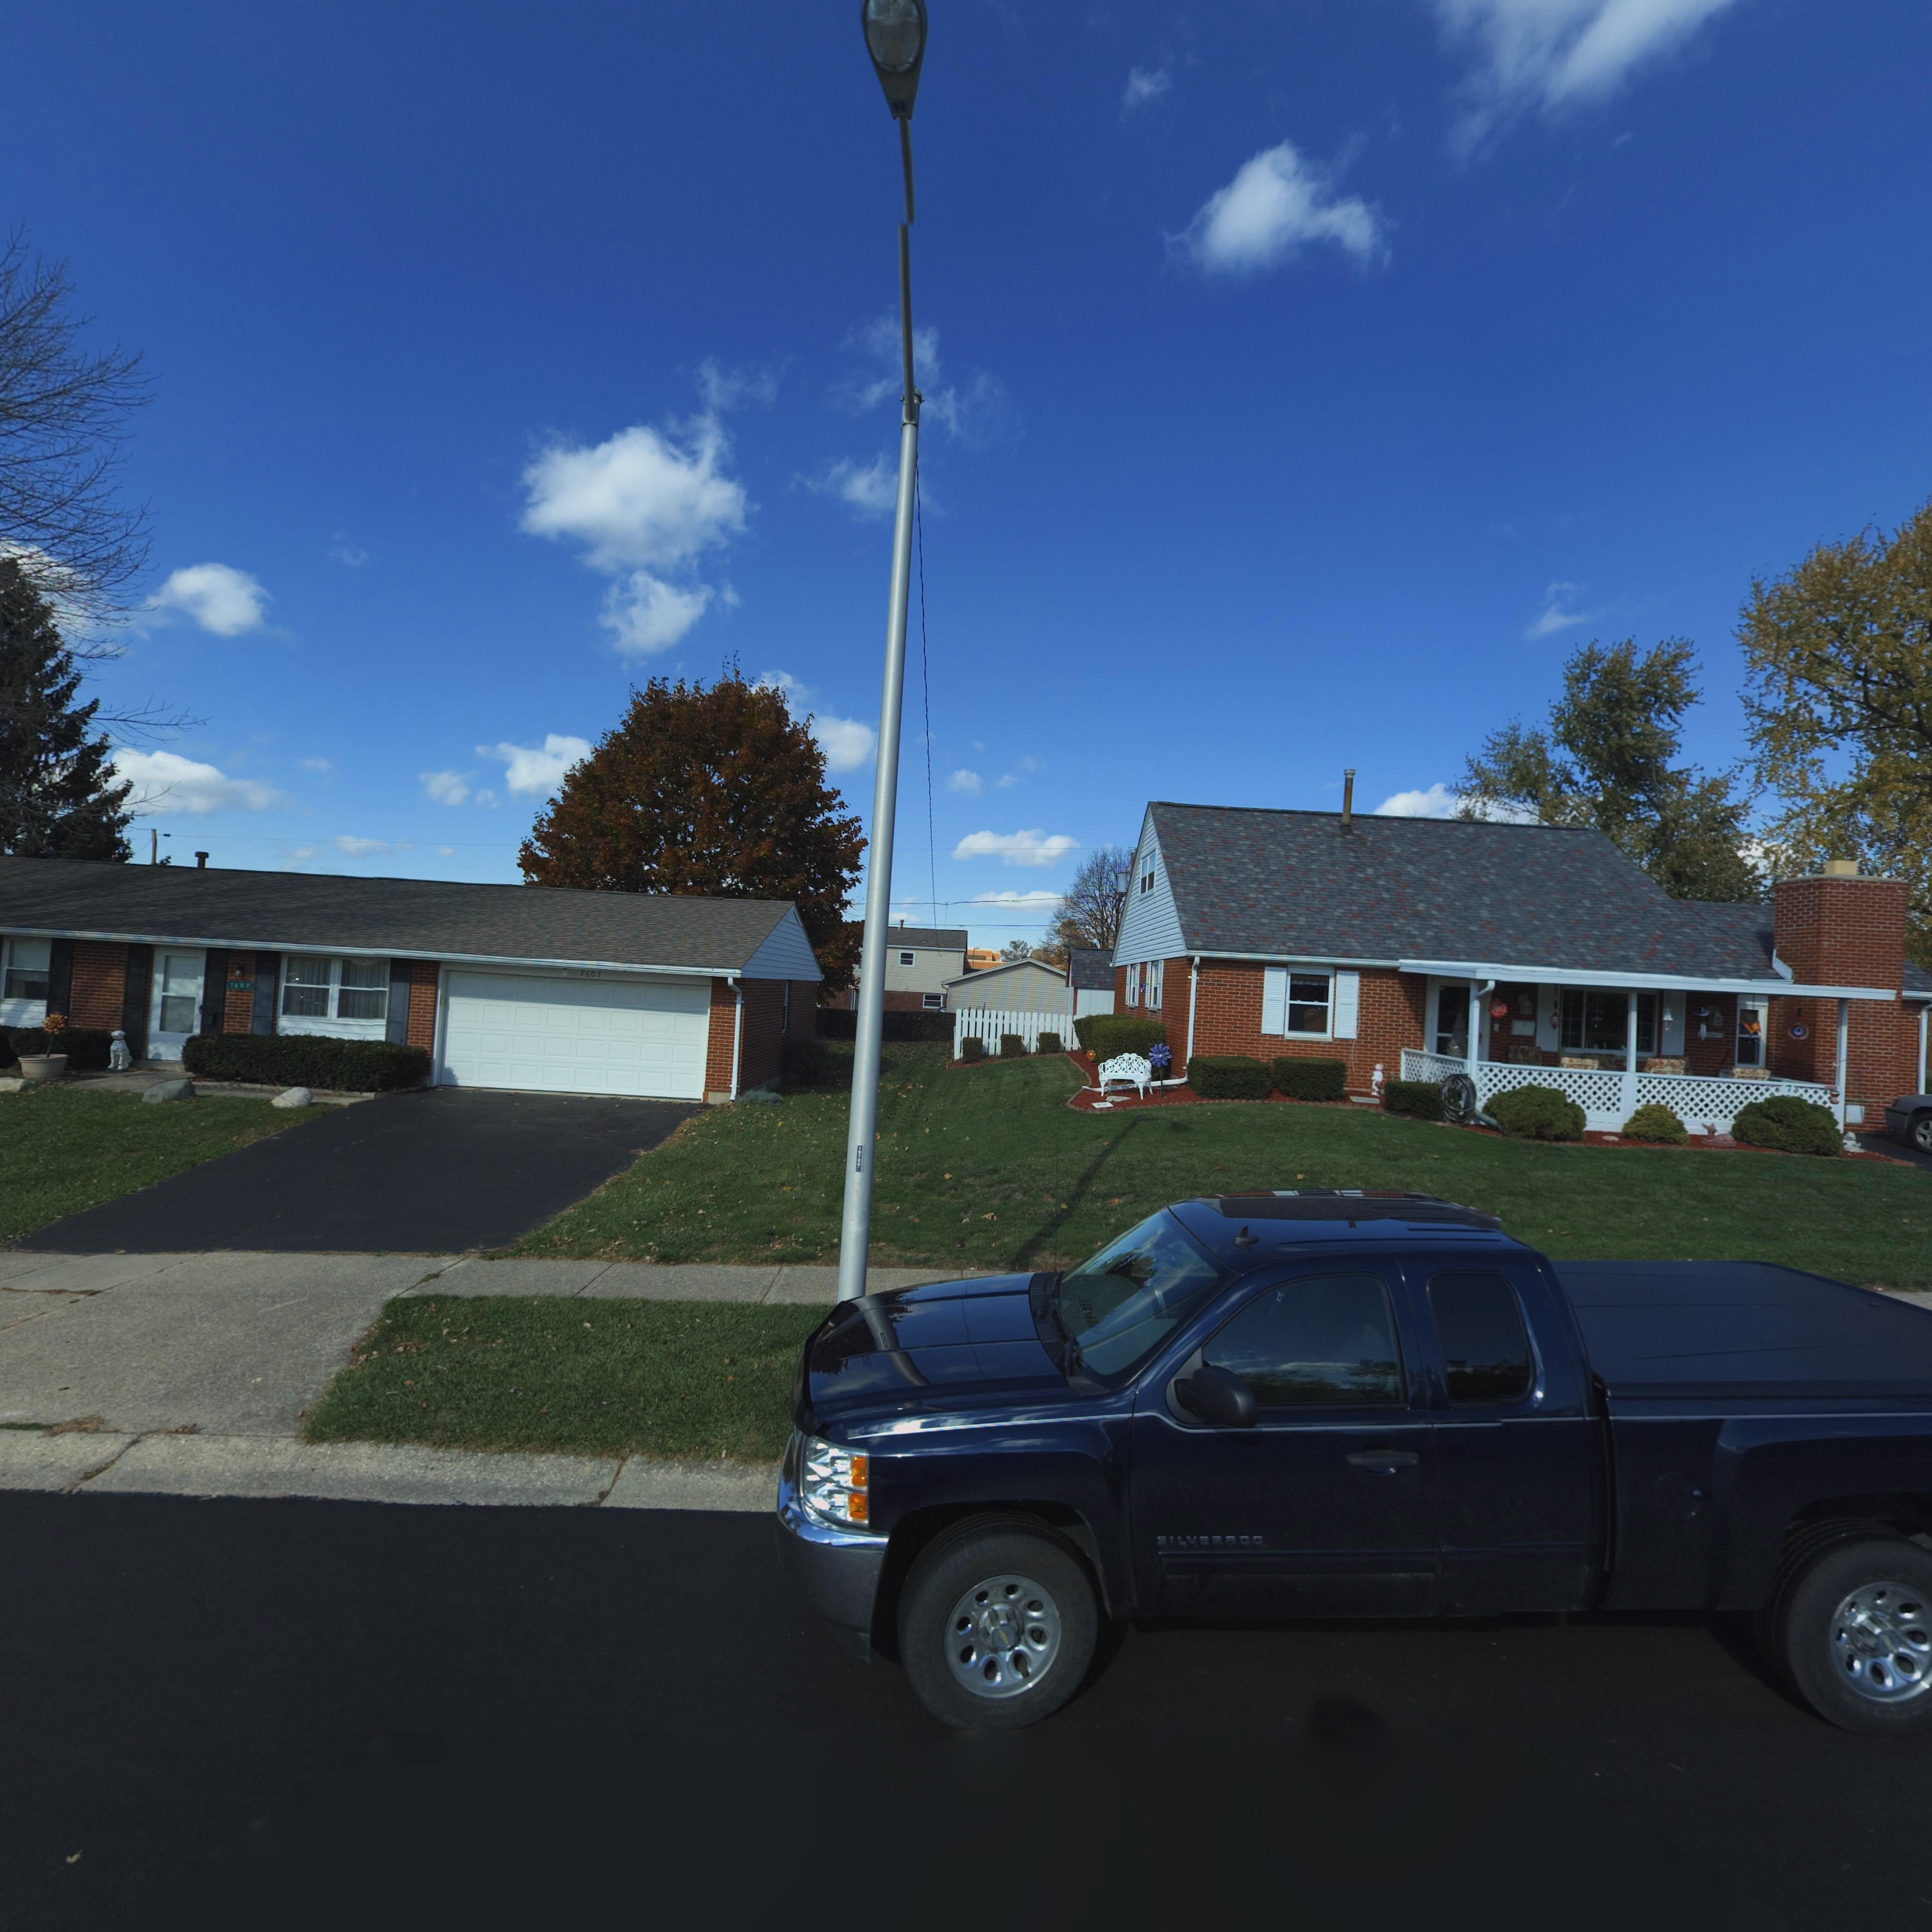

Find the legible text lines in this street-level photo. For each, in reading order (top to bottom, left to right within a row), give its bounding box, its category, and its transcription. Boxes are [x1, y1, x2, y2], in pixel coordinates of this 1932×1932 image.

[580, 970, 602, 978] StreetNumber: 7607
[230, 982, 251, 989] StreetNumber: 7607